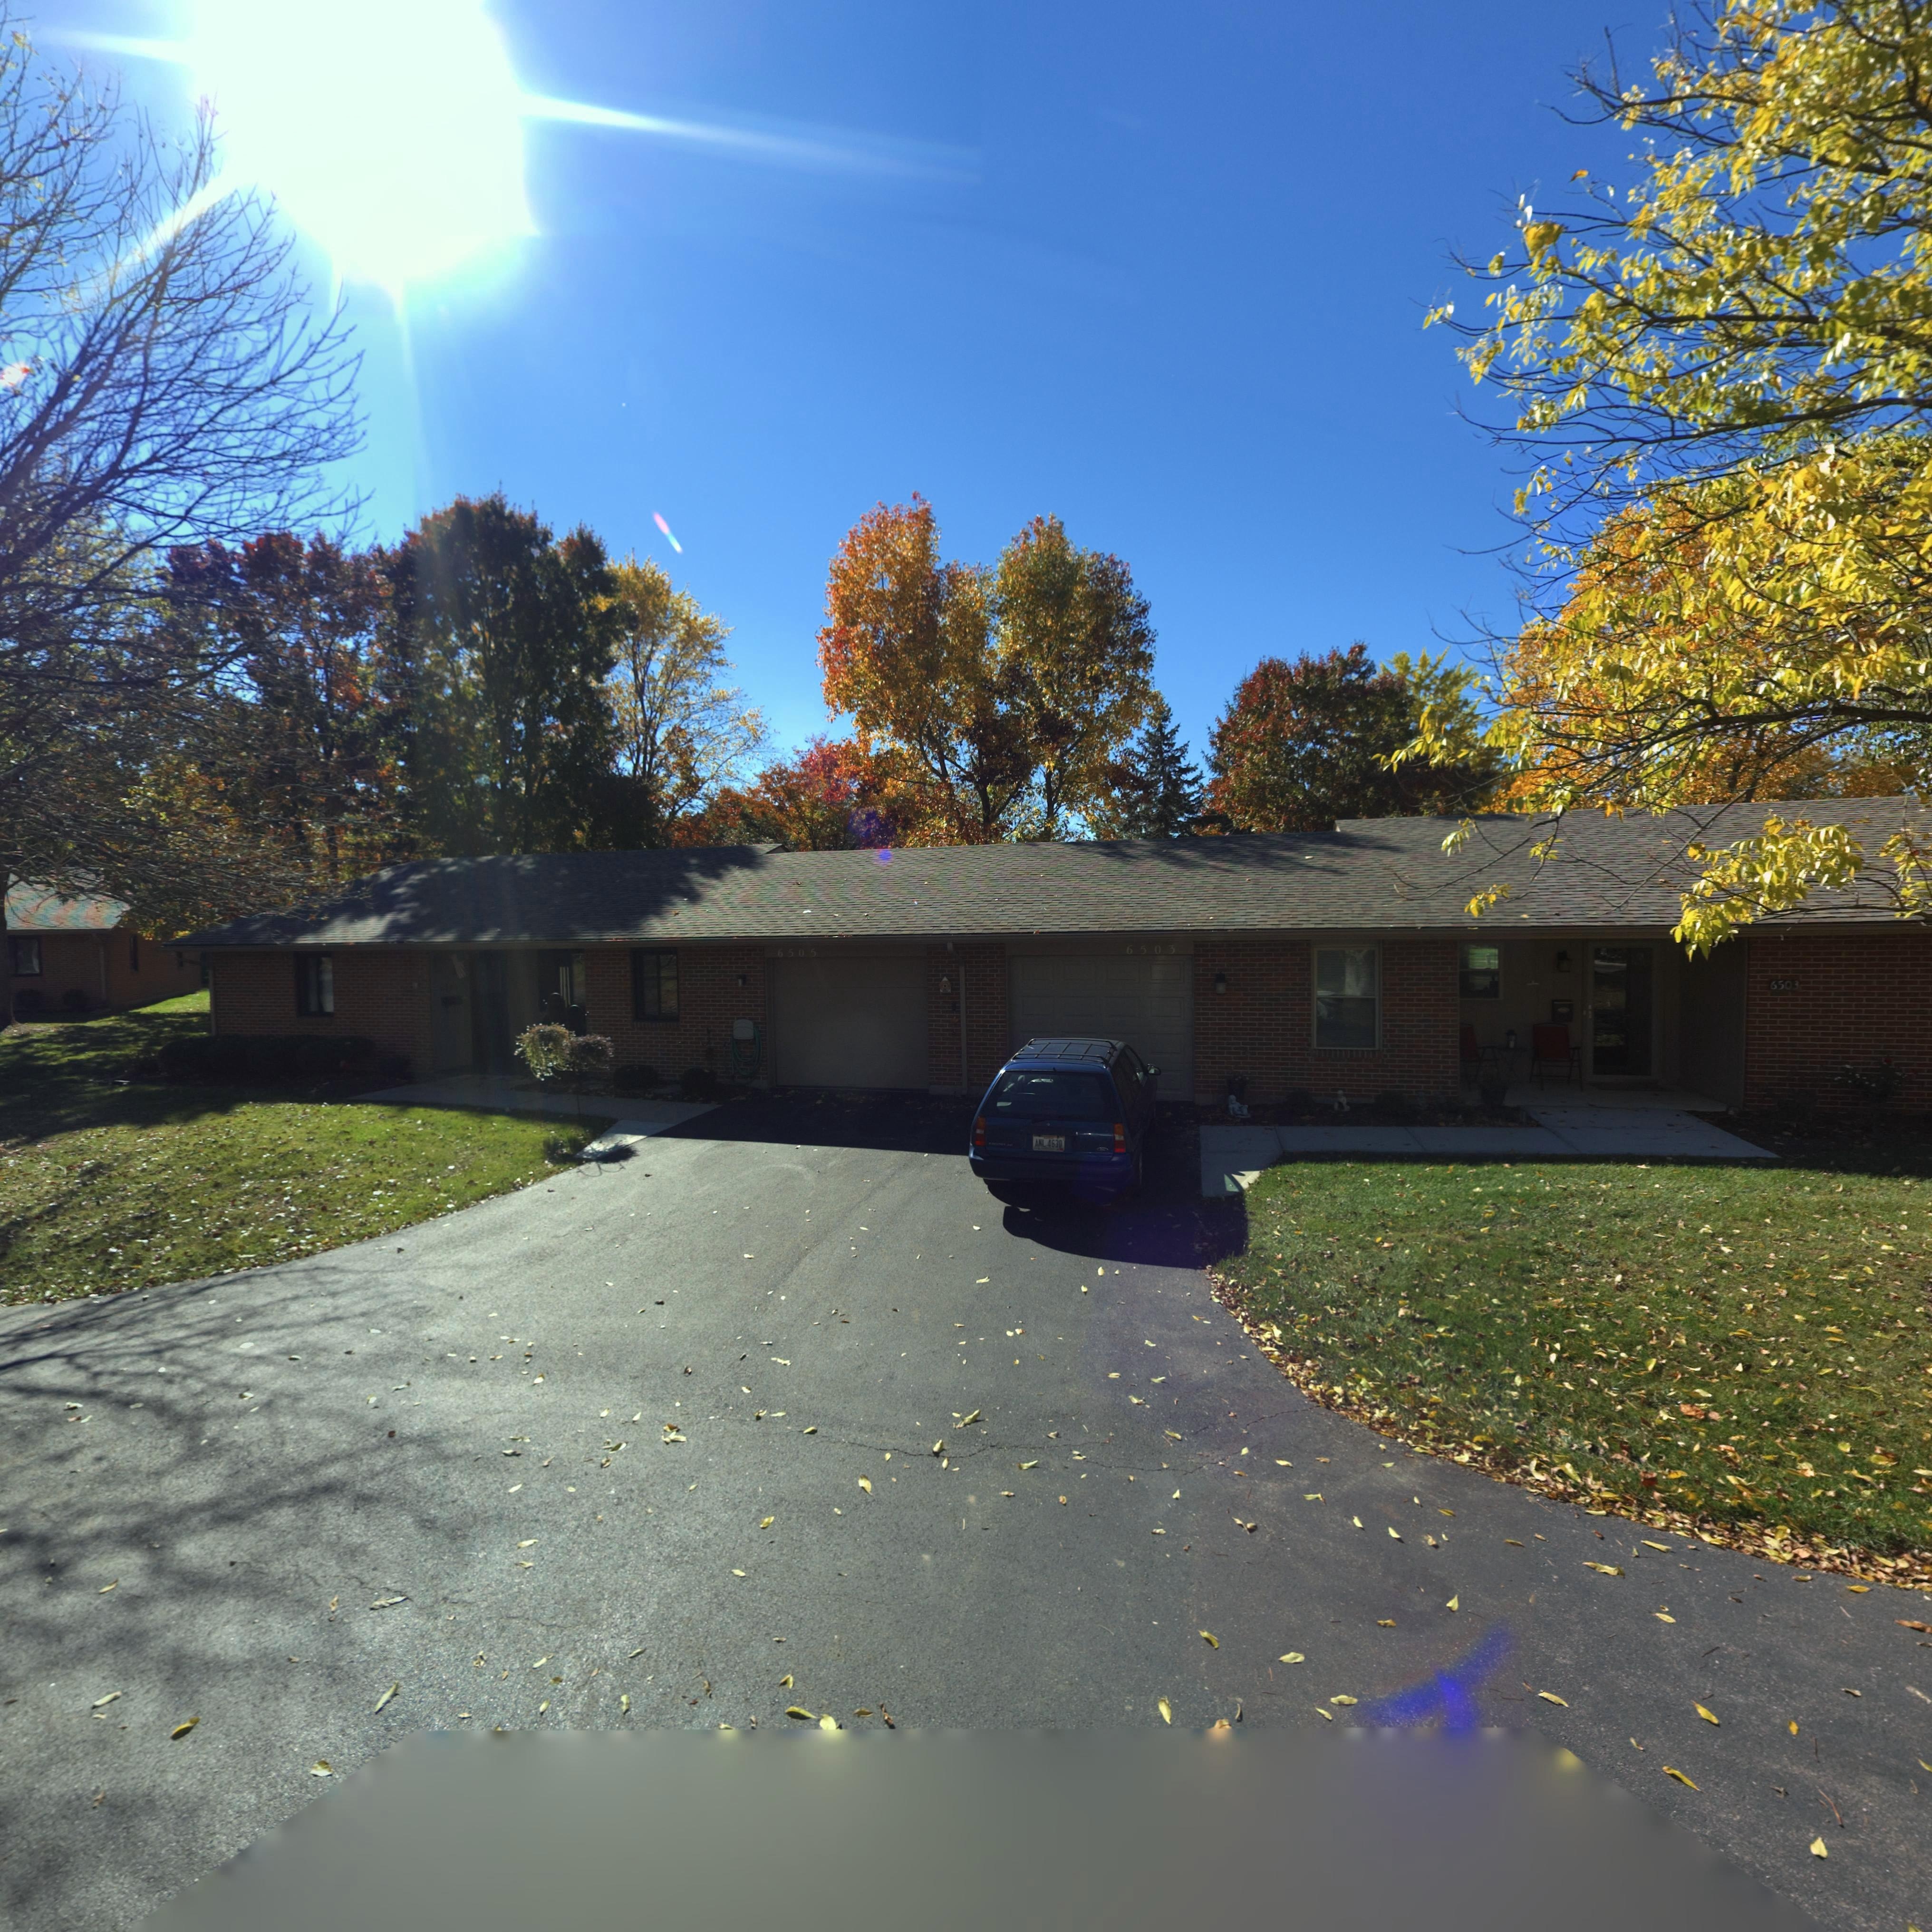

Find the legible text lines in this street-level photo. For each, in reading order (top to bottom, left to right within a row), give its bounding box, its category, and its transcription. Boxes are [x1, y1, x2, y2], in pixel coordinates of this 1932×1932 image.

[777, 947, 818, 958] StreetNumber: 6505
[1125, 944, 1176, 956] StreetNumber: 6503
[1769, 979, 1800, 992] StreetNumber: 6503